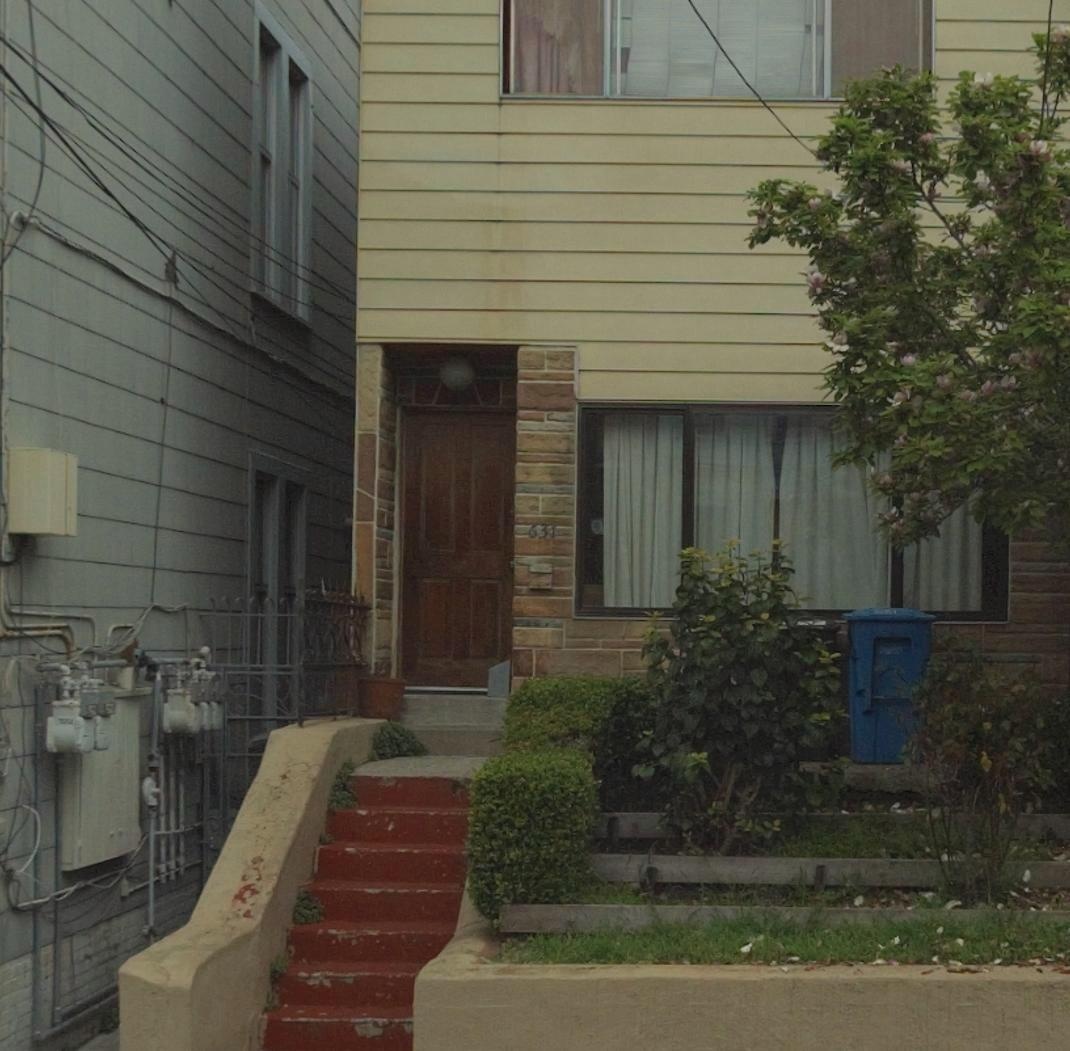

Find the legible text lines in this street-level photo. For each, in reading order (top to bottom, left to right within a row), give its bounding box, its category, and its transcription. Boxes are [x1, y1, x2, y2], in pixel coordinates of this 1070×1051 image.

[526, 521, 557, 540] StreetNumber: 631